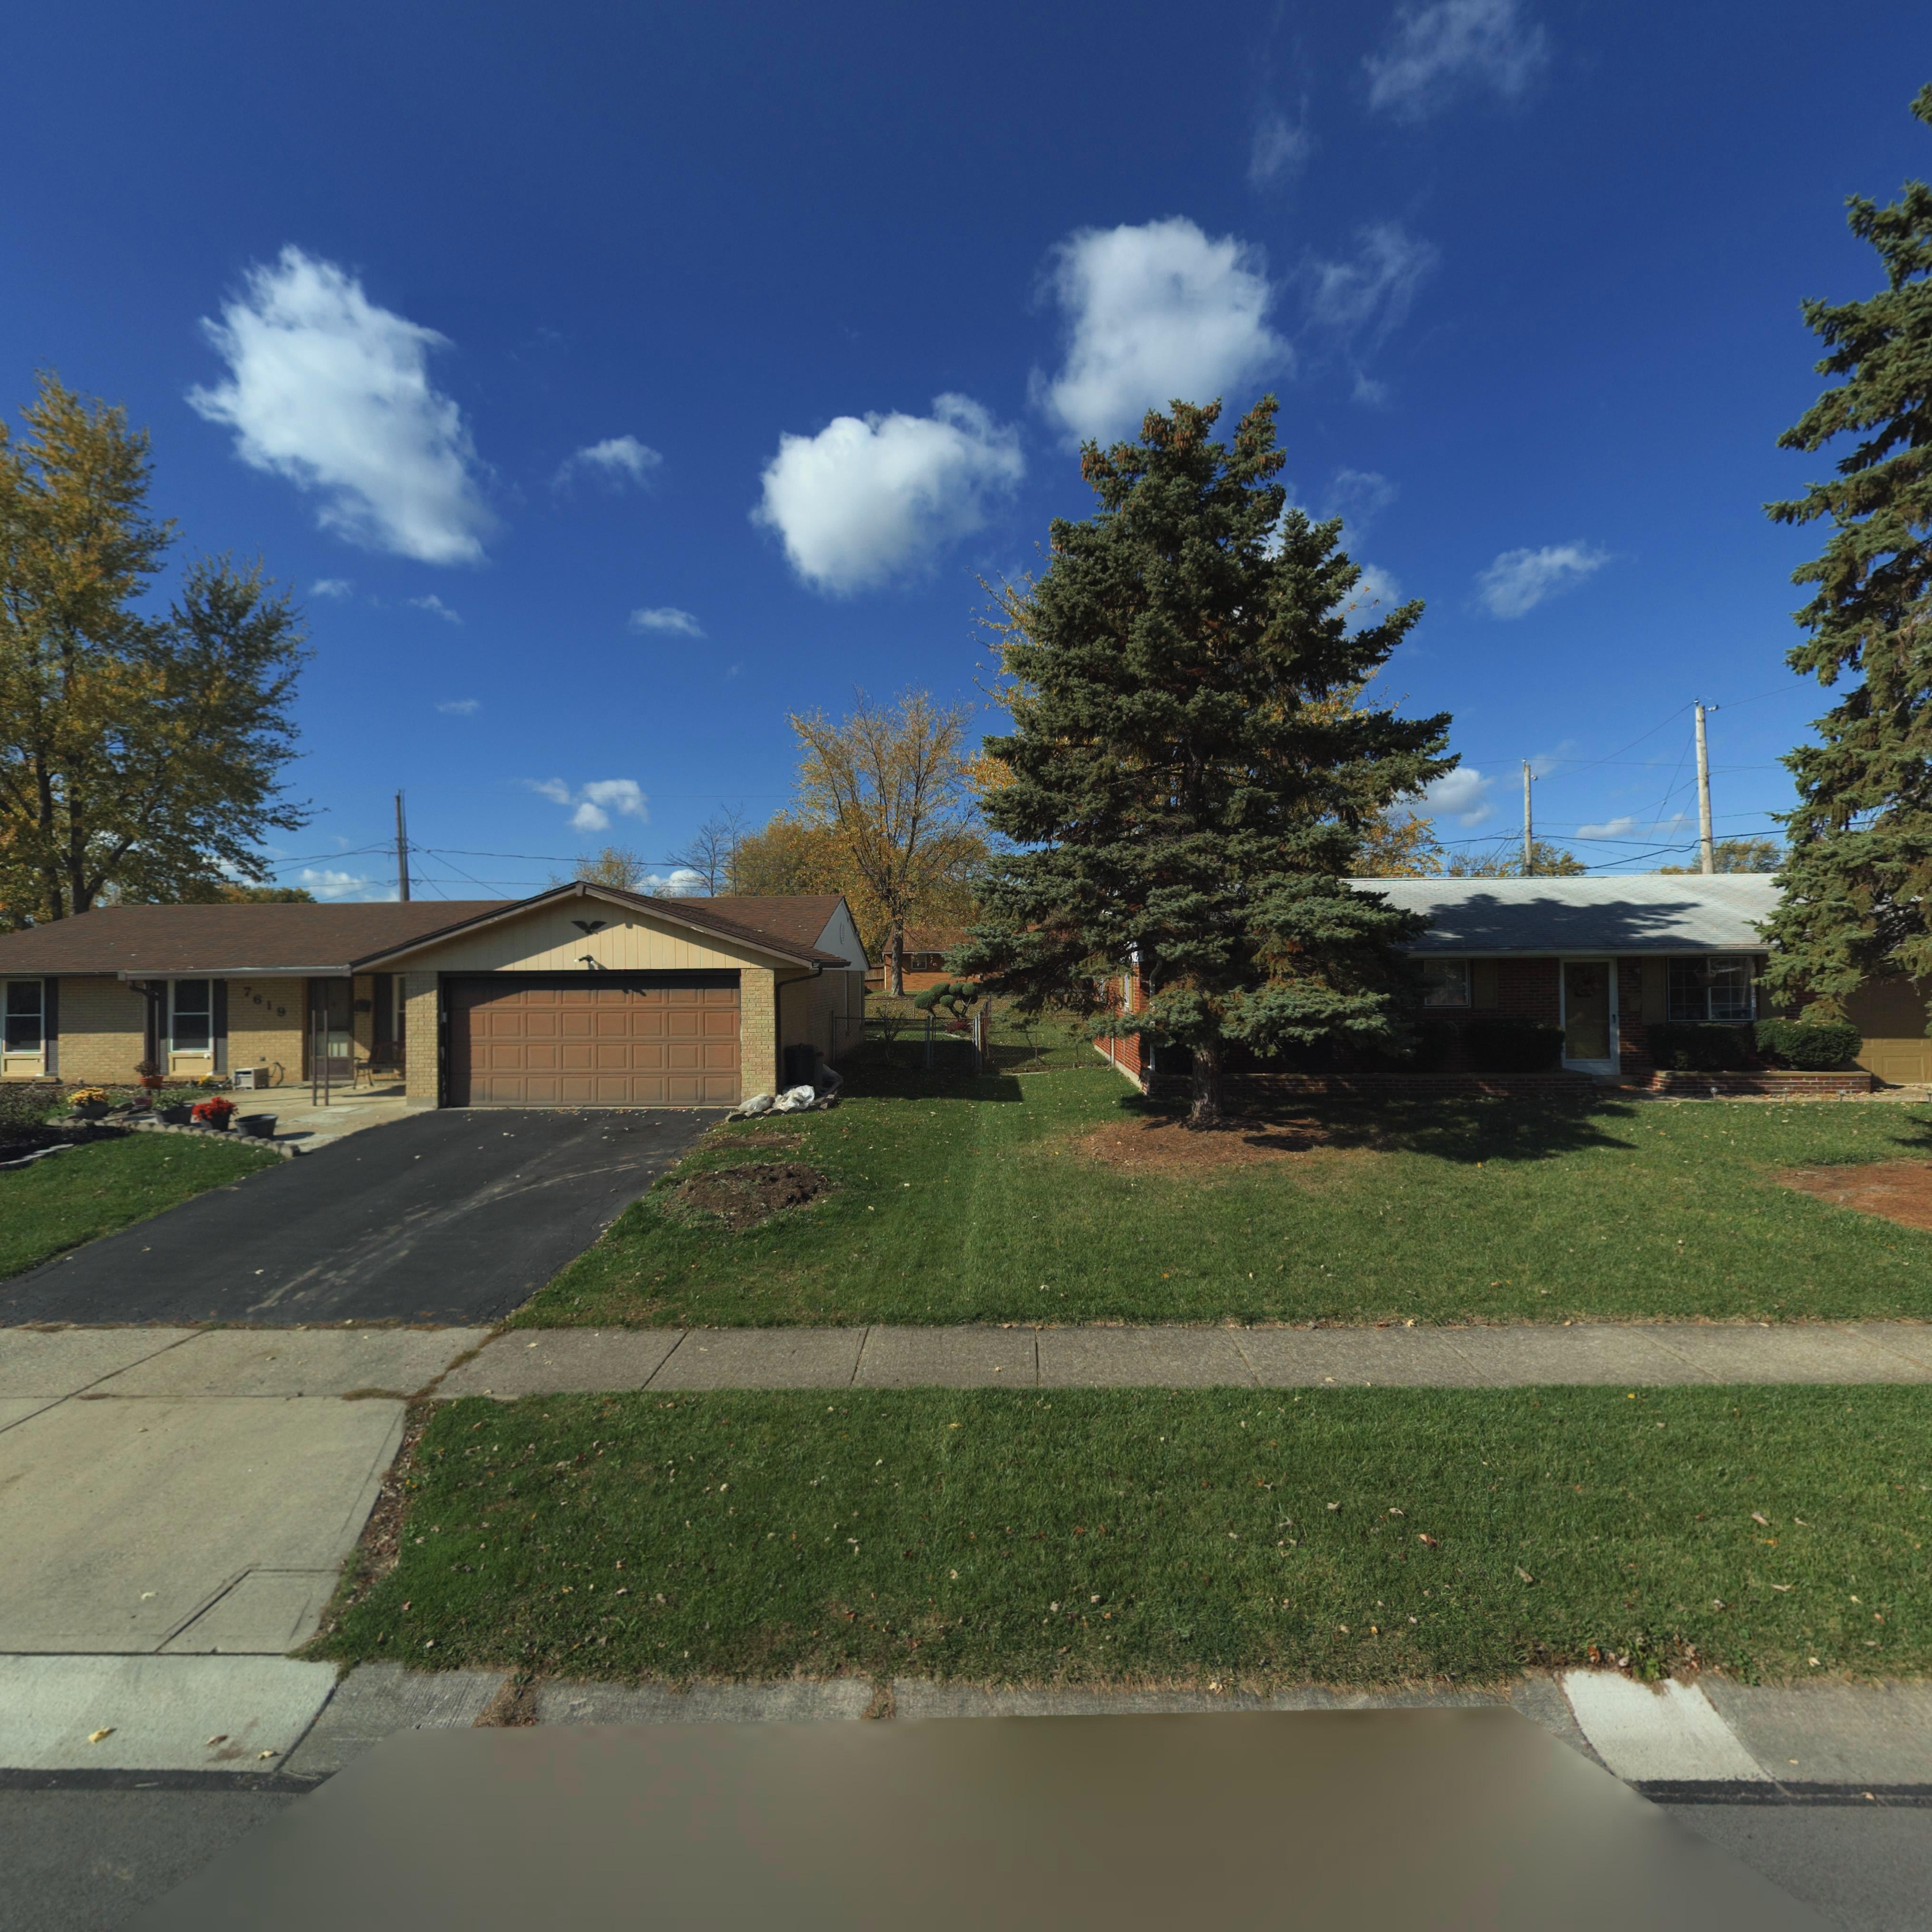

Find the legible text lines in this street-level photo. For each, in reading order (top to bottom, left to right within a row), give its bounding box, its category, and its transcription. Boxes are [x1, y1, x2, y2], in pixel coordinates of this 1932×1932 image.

[243, 985, 288, 1018] StreetNumber: 7619